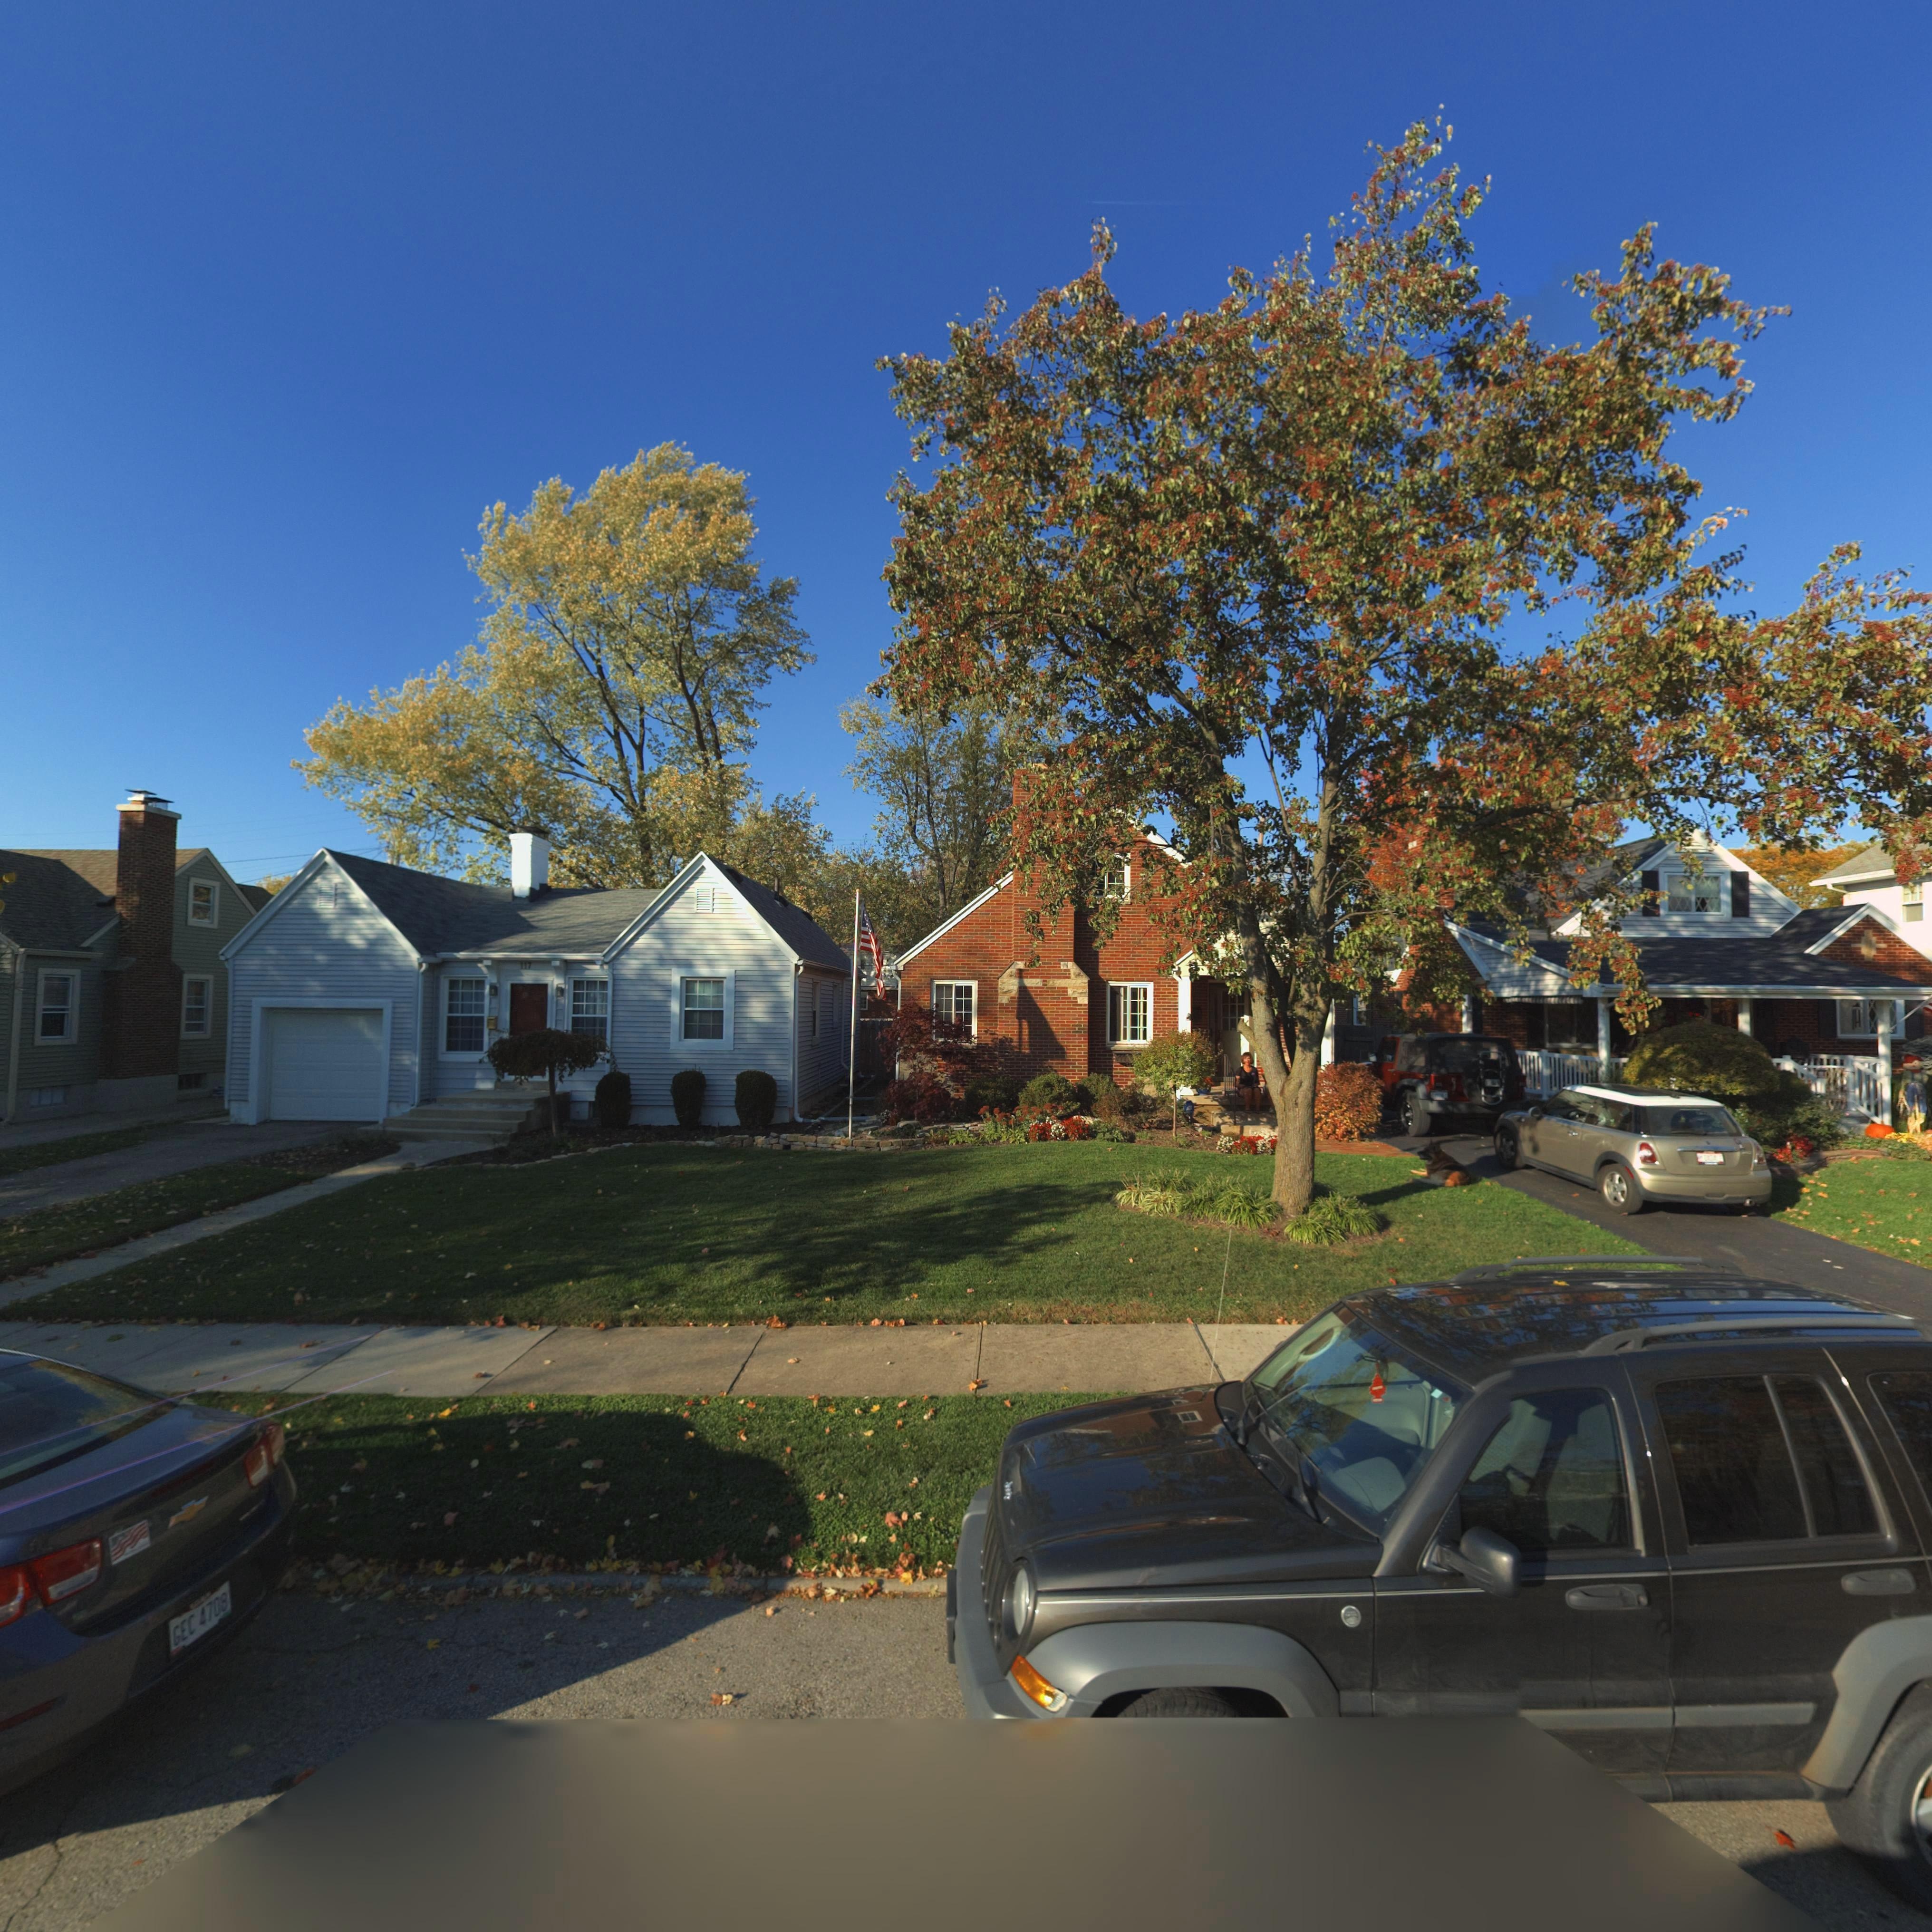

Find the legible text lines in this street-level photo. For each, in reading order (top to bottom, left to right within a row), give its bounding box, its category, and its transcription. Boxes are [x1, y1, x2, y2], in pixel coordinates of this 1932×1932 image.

[520, 961, 533, 970] StreetNumber: 117